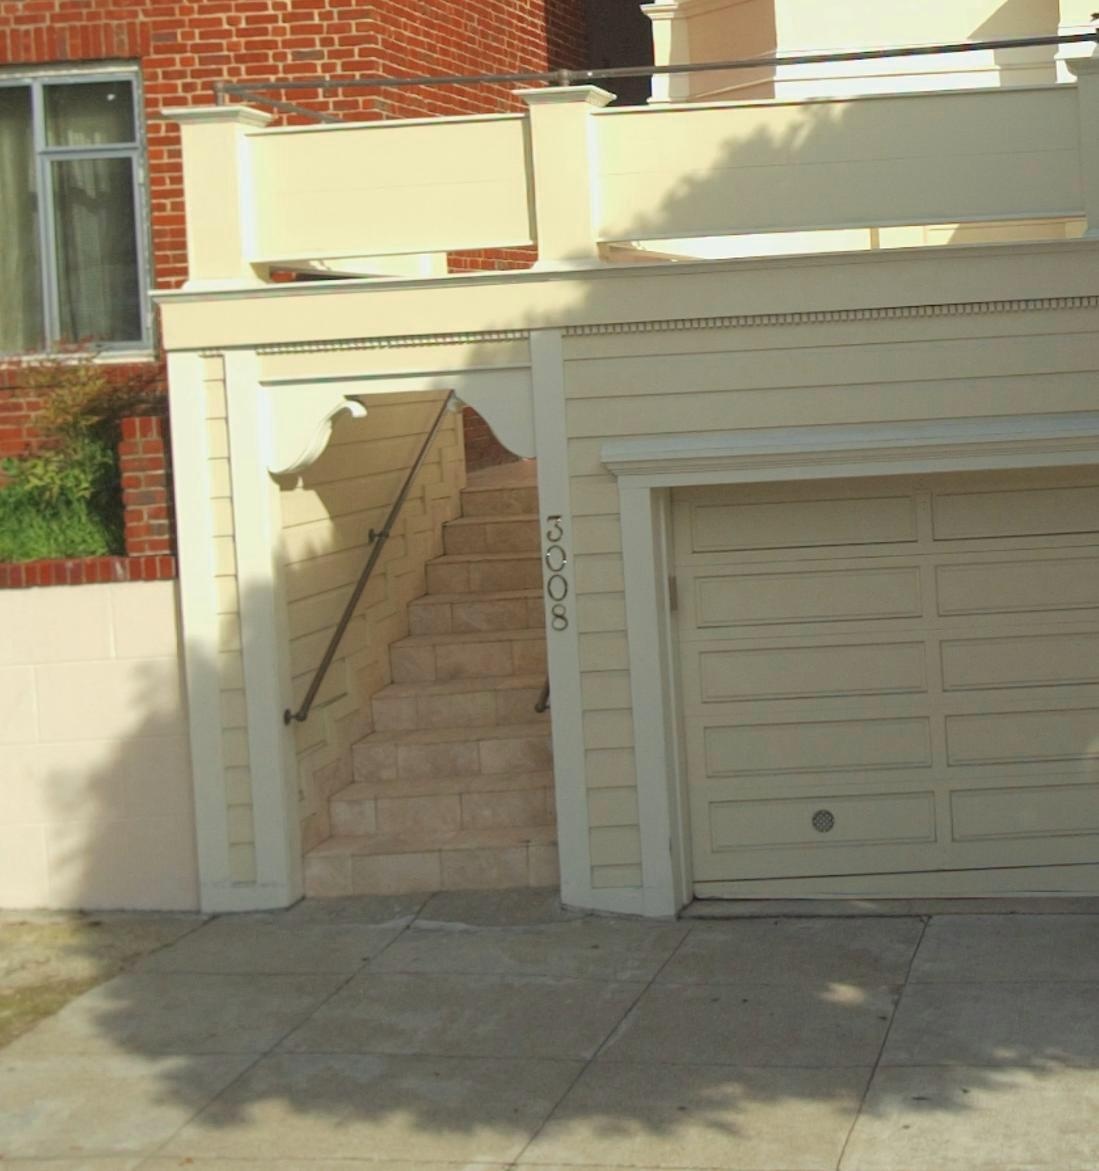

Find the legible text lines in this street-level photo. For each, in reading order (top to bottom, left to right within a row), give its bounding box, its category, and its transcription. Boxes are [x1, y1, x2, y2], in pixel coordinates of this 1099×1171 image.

[542, 512, 573, 633] StreetNumber: 3008